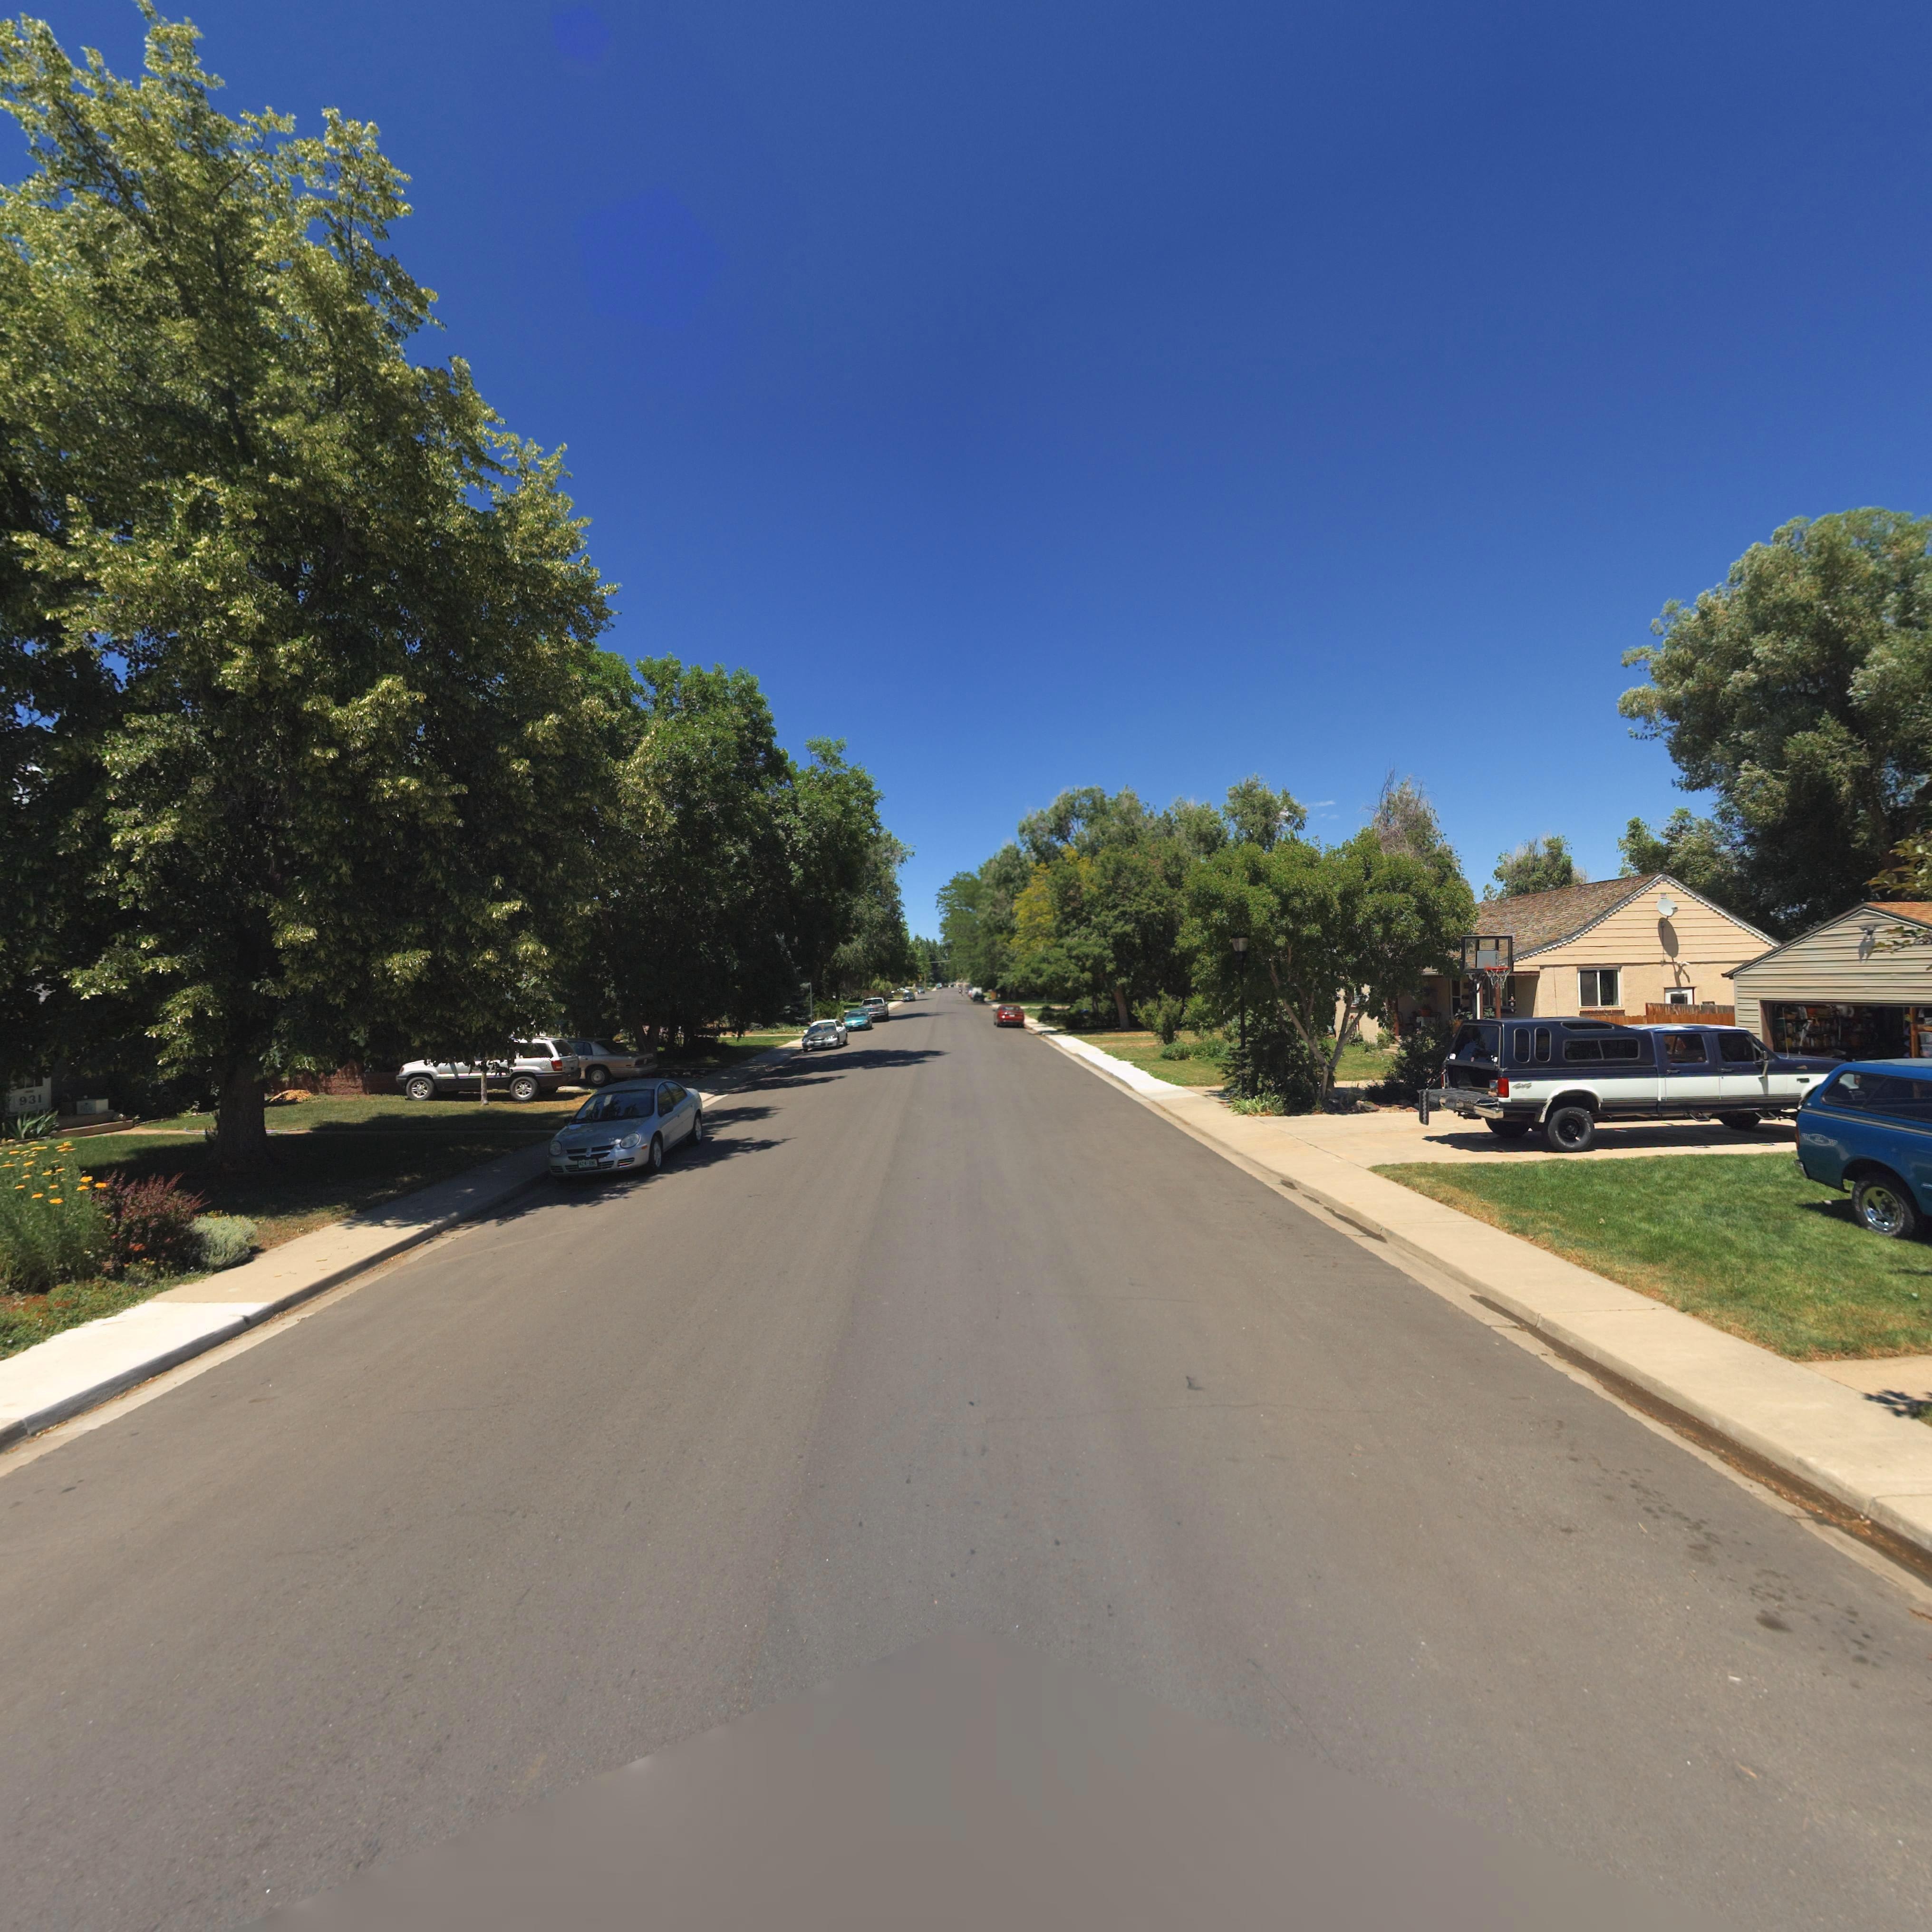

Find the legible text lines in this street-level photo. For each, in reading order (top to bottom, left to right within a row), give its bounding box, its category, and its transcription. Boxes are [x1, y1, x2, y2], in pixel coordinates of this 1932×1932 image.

[19, 1093, 41, 1105] StreetNumber: 931